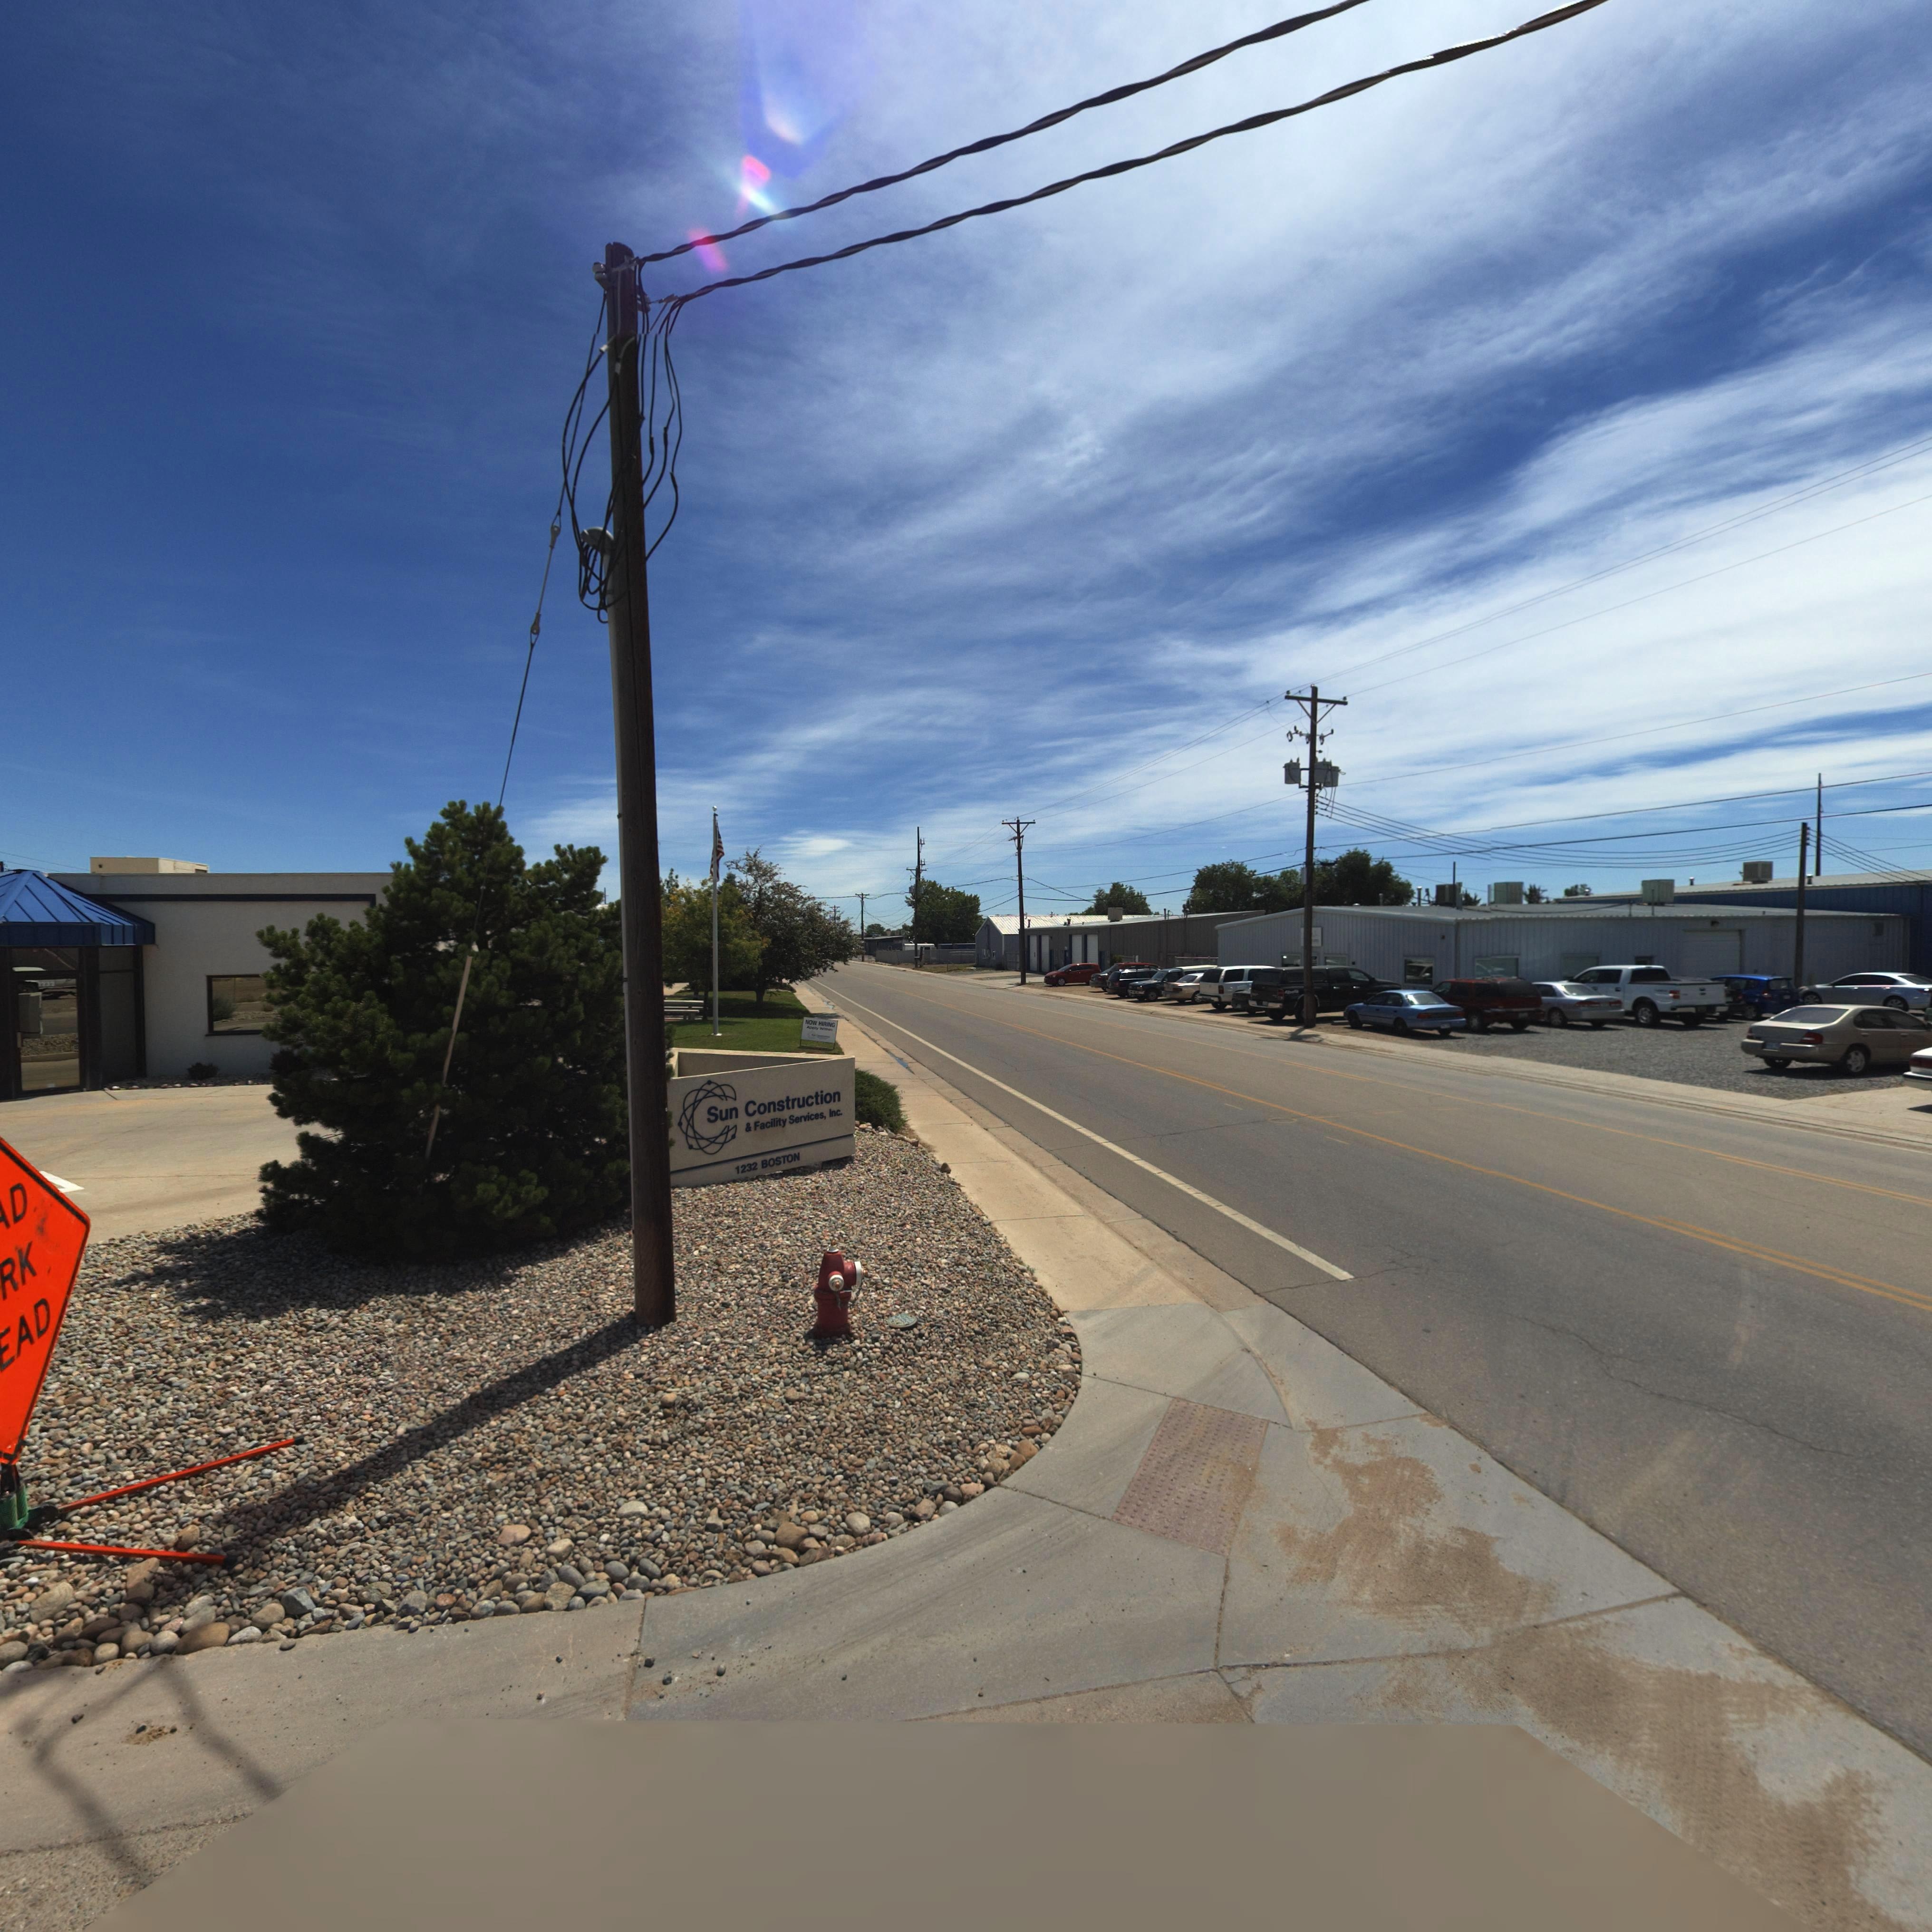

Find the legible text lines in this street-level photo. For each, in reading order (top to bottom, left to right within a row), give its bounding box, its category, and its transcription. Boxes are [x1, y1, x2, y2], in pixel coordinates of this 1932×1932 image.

[705, 1089, 841, 1124] BusinessName: Sun Construction
[734, 1161, 758, 1175] StreetNumber: 1232
[759, 1151, 801, 1170] StreetName: Boston